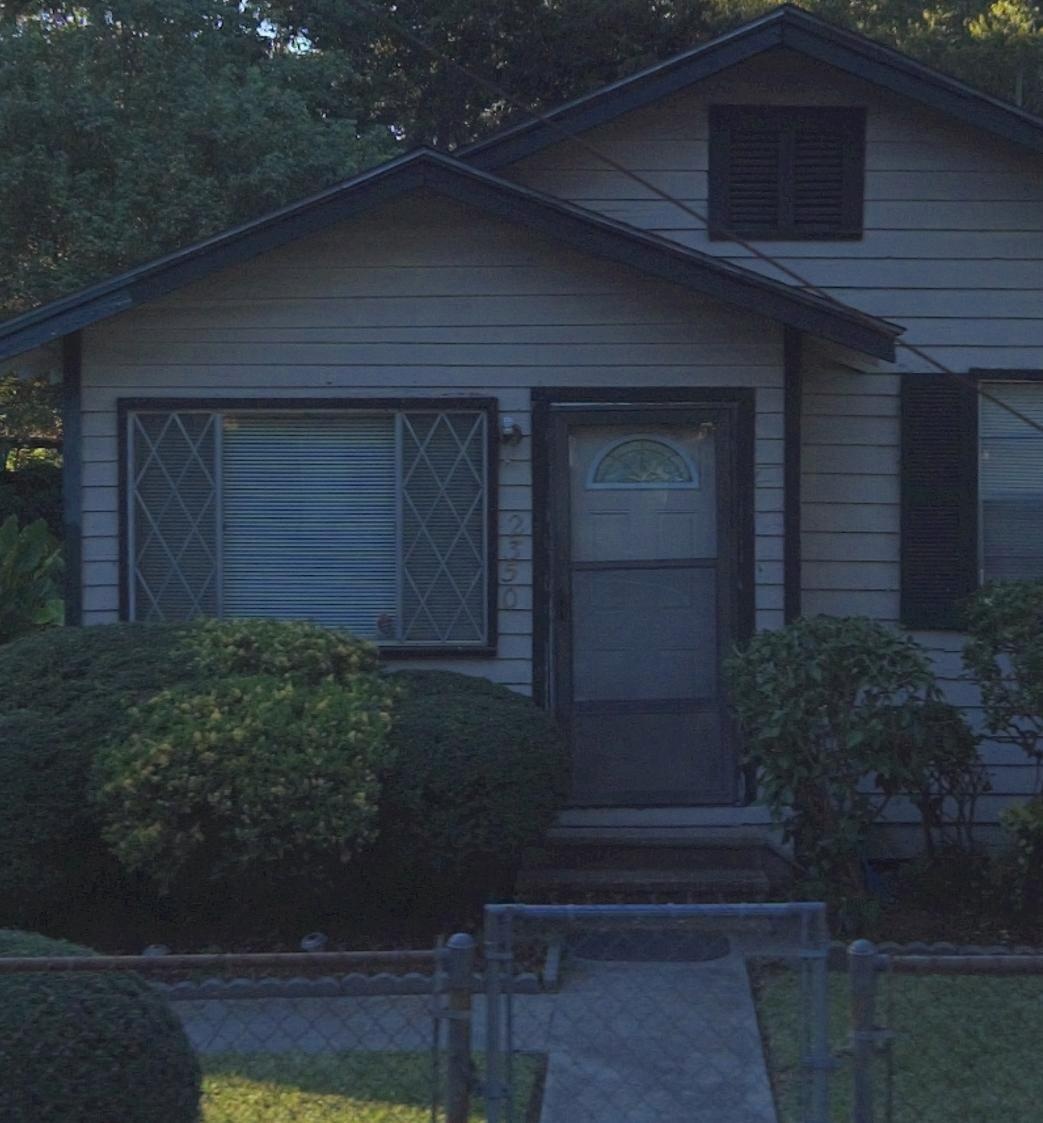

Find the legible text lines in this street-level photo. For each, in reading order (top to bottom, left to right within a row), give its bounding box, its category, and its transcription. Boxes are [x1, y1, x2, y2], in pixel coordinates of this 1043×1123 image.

[498, 514, 526, 610] StreetNumber: 2350